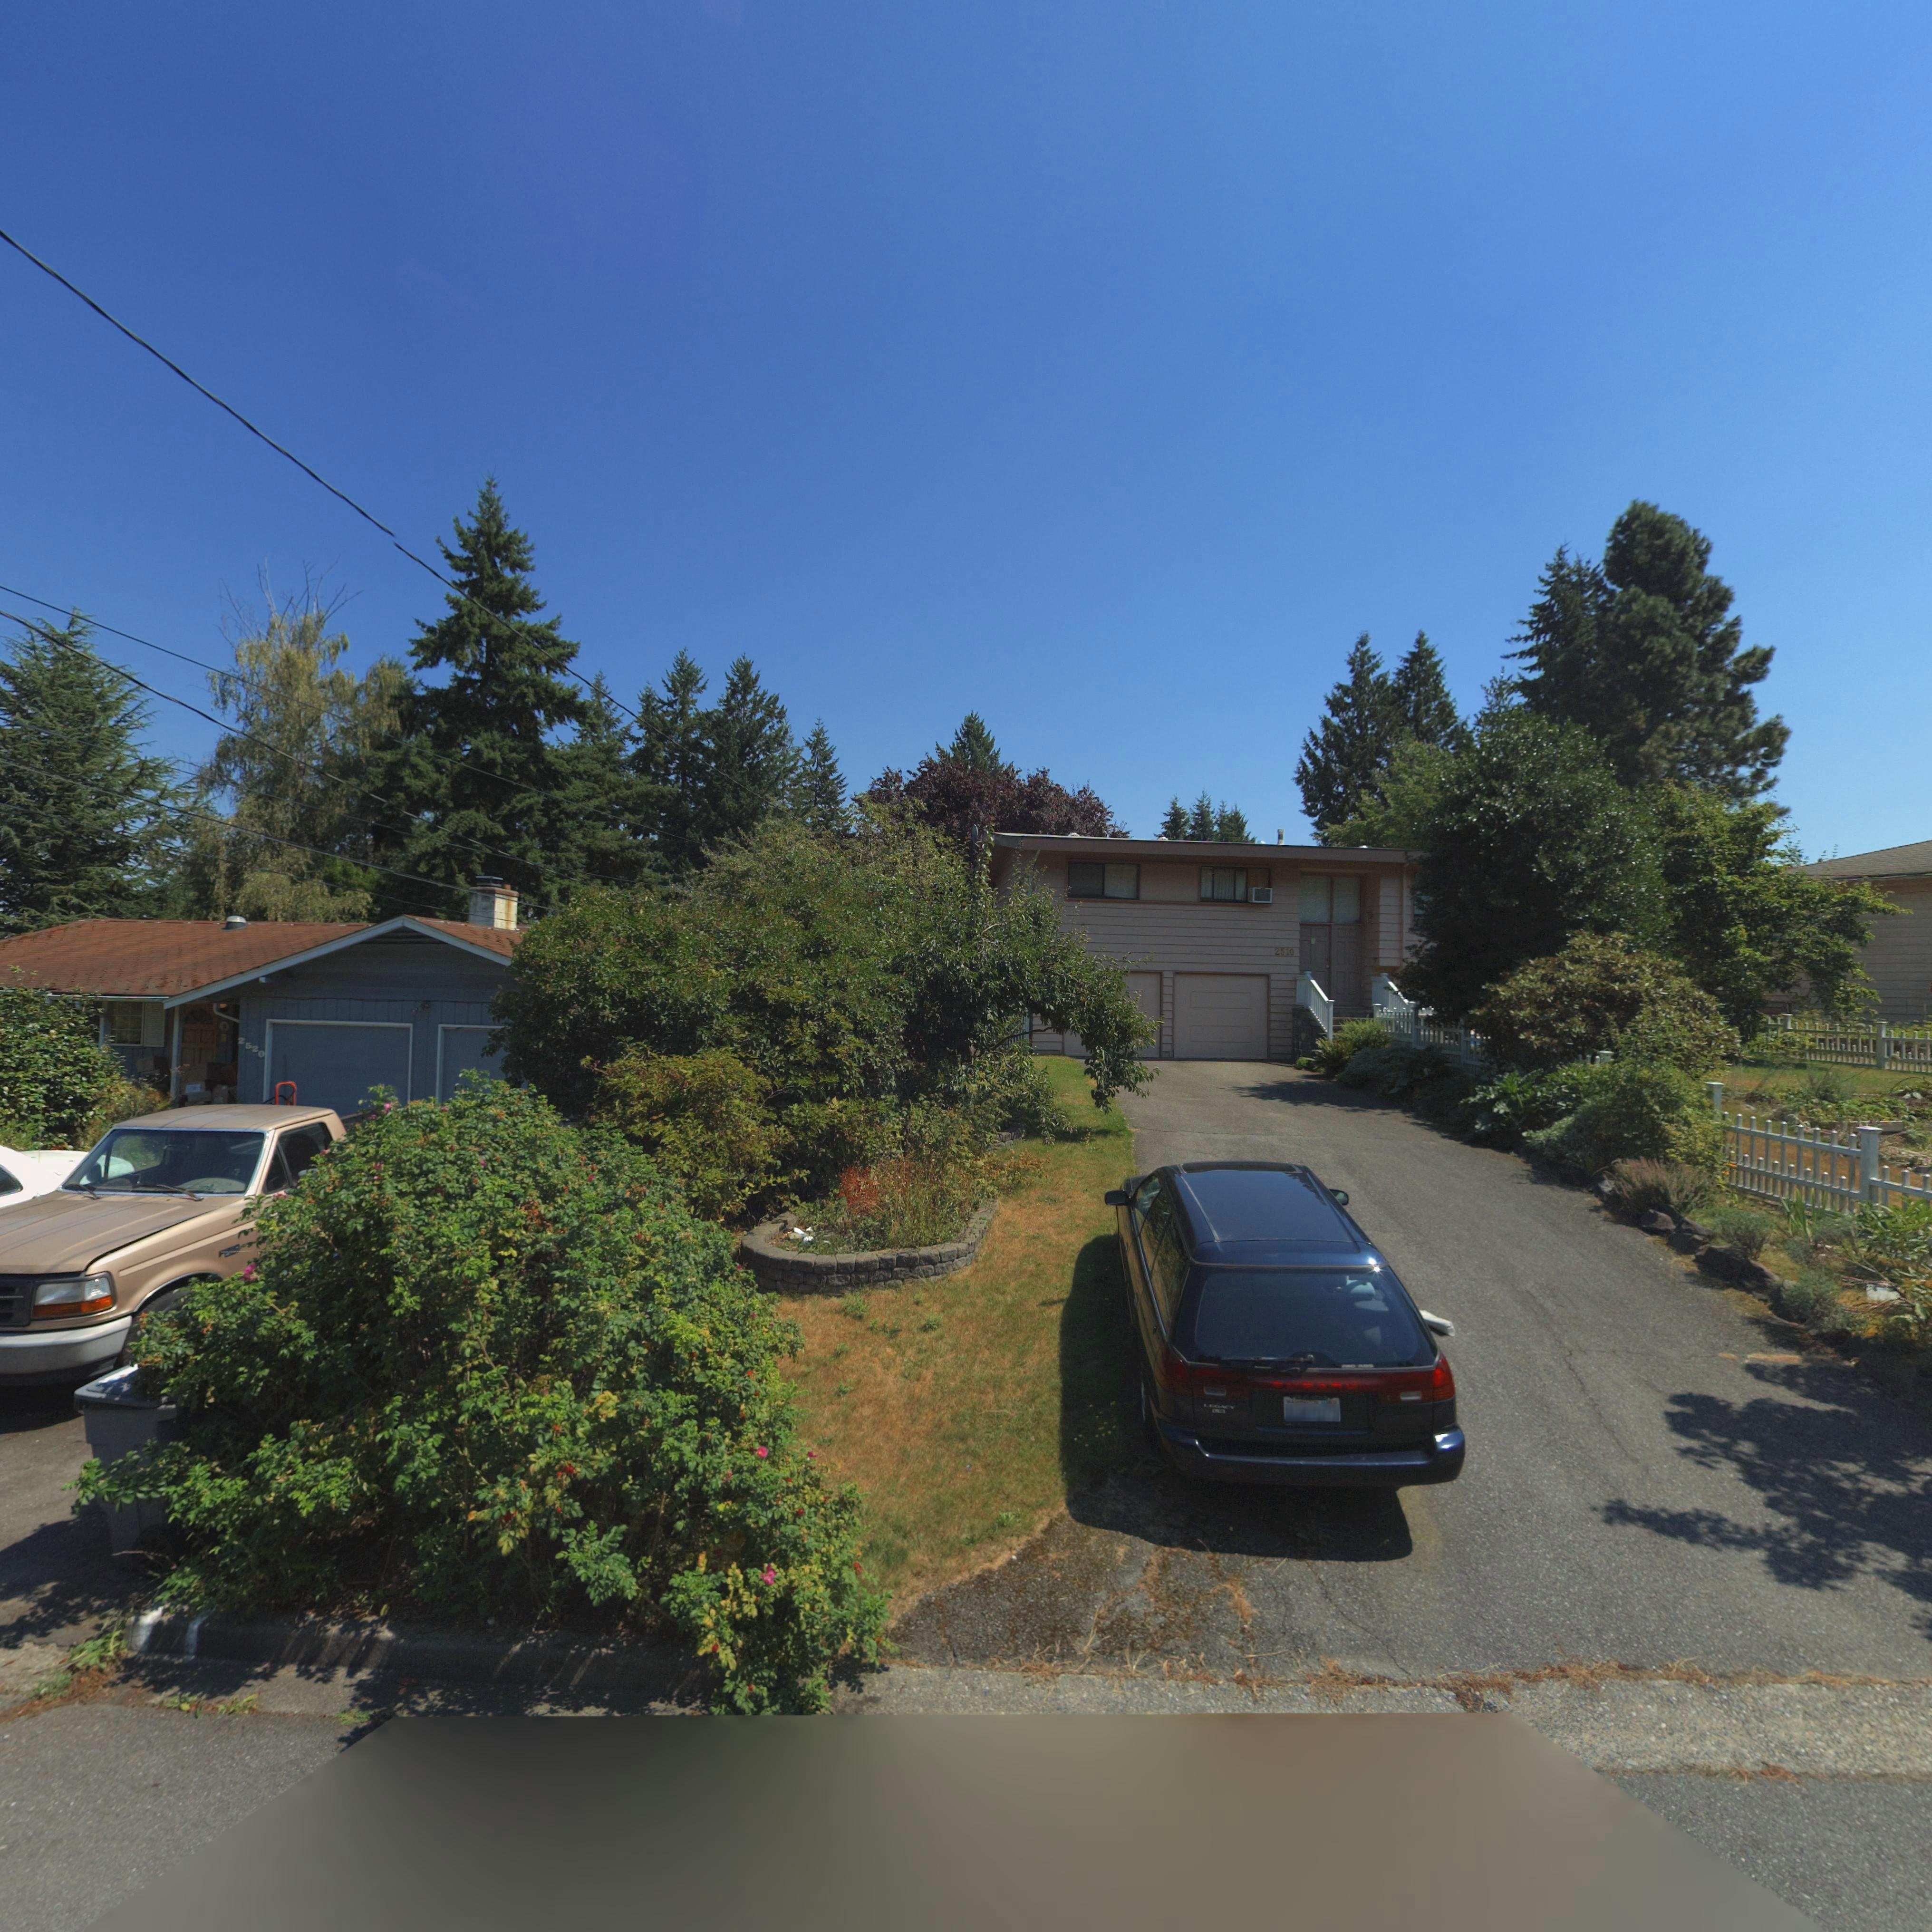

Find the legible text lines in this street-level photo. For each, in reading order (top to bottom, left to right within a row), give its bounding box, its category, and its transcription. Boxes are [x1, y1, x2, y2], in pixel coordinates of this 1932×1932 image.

[1274, 946, 1294, 957] StreetNumber: 2510
[237, 1036, 265, 1060] StreetNumber: 2520